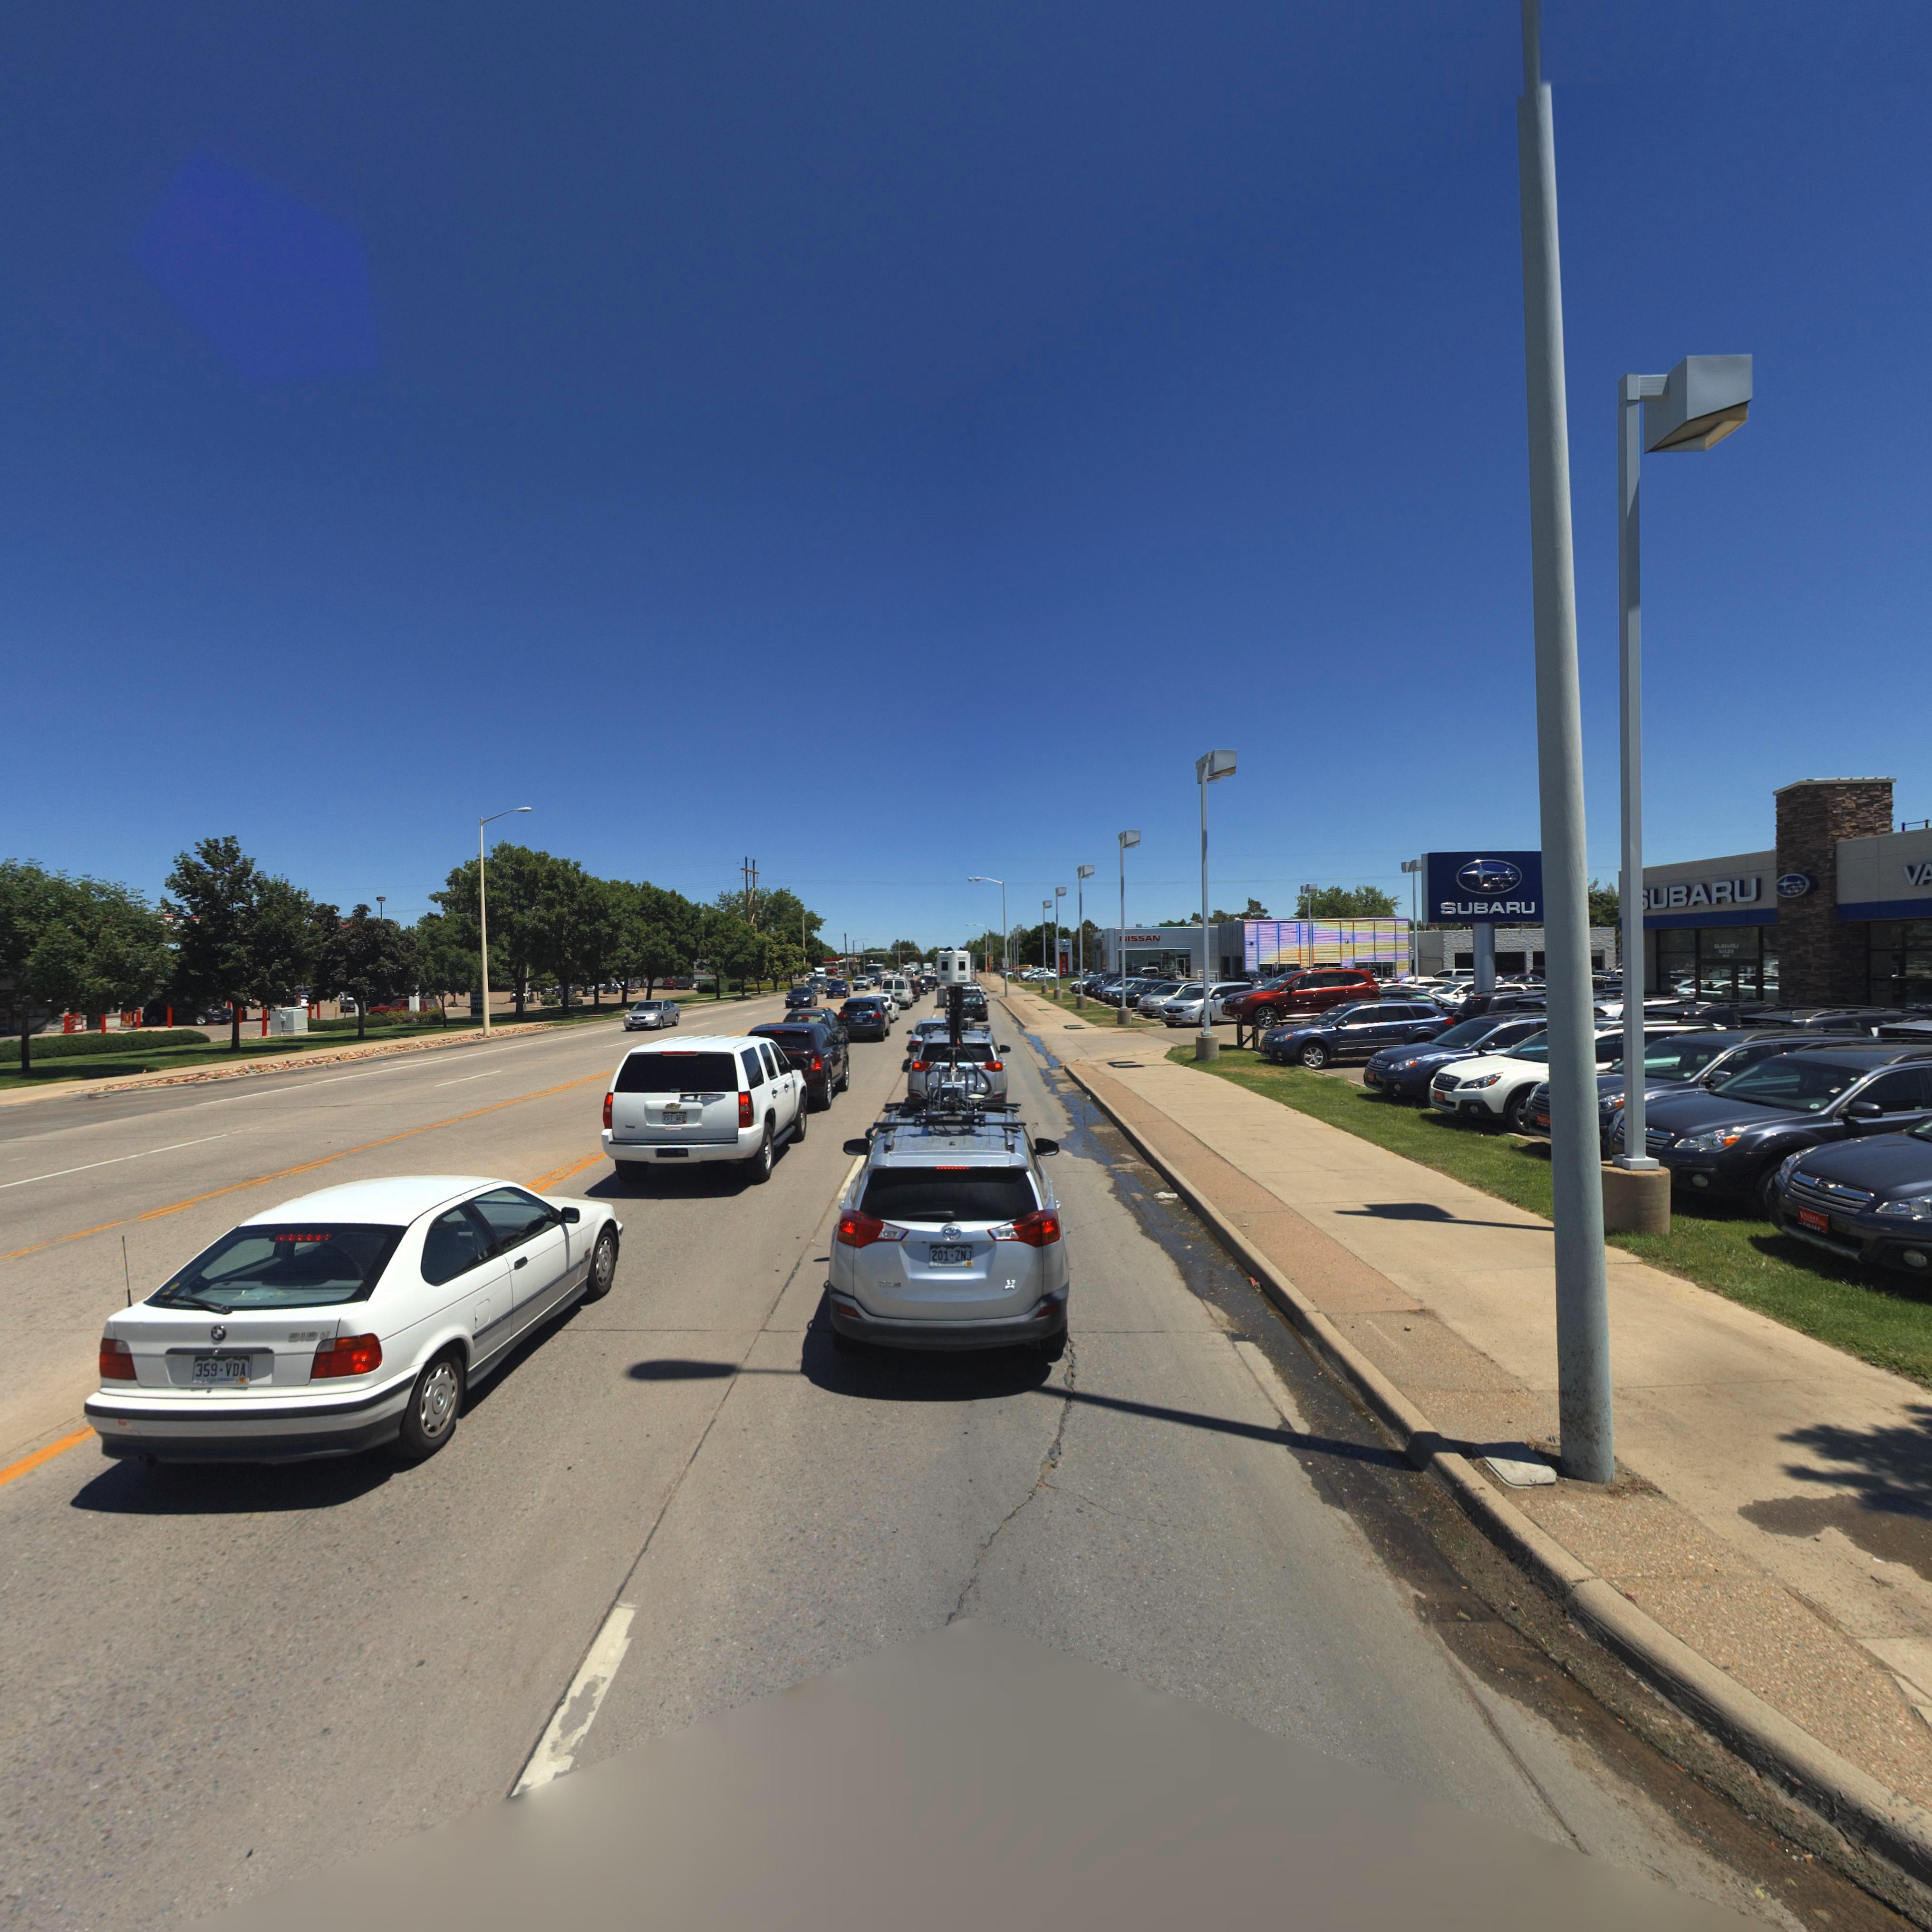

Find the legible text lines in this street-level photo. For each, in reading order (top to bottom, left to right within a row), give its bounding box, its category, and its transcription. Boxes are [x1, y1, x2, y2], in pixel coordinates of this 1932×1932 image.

[1901, 864, 1923, 885] BusinessName: V
[1649, 877, 1758, 909] BusinessName: UBARU
[1440, 902, 1535, 914] BusinessName: SUBARU
[1128, 935, 1160, 941] BusinessName: ISSAN
[1713, 944, 1738, 948] BusinessName: SUBARU
[1718, 949, 1734, 954] BusinessName: SALES
[694, 971, 707, 974] BusinessName: *U**